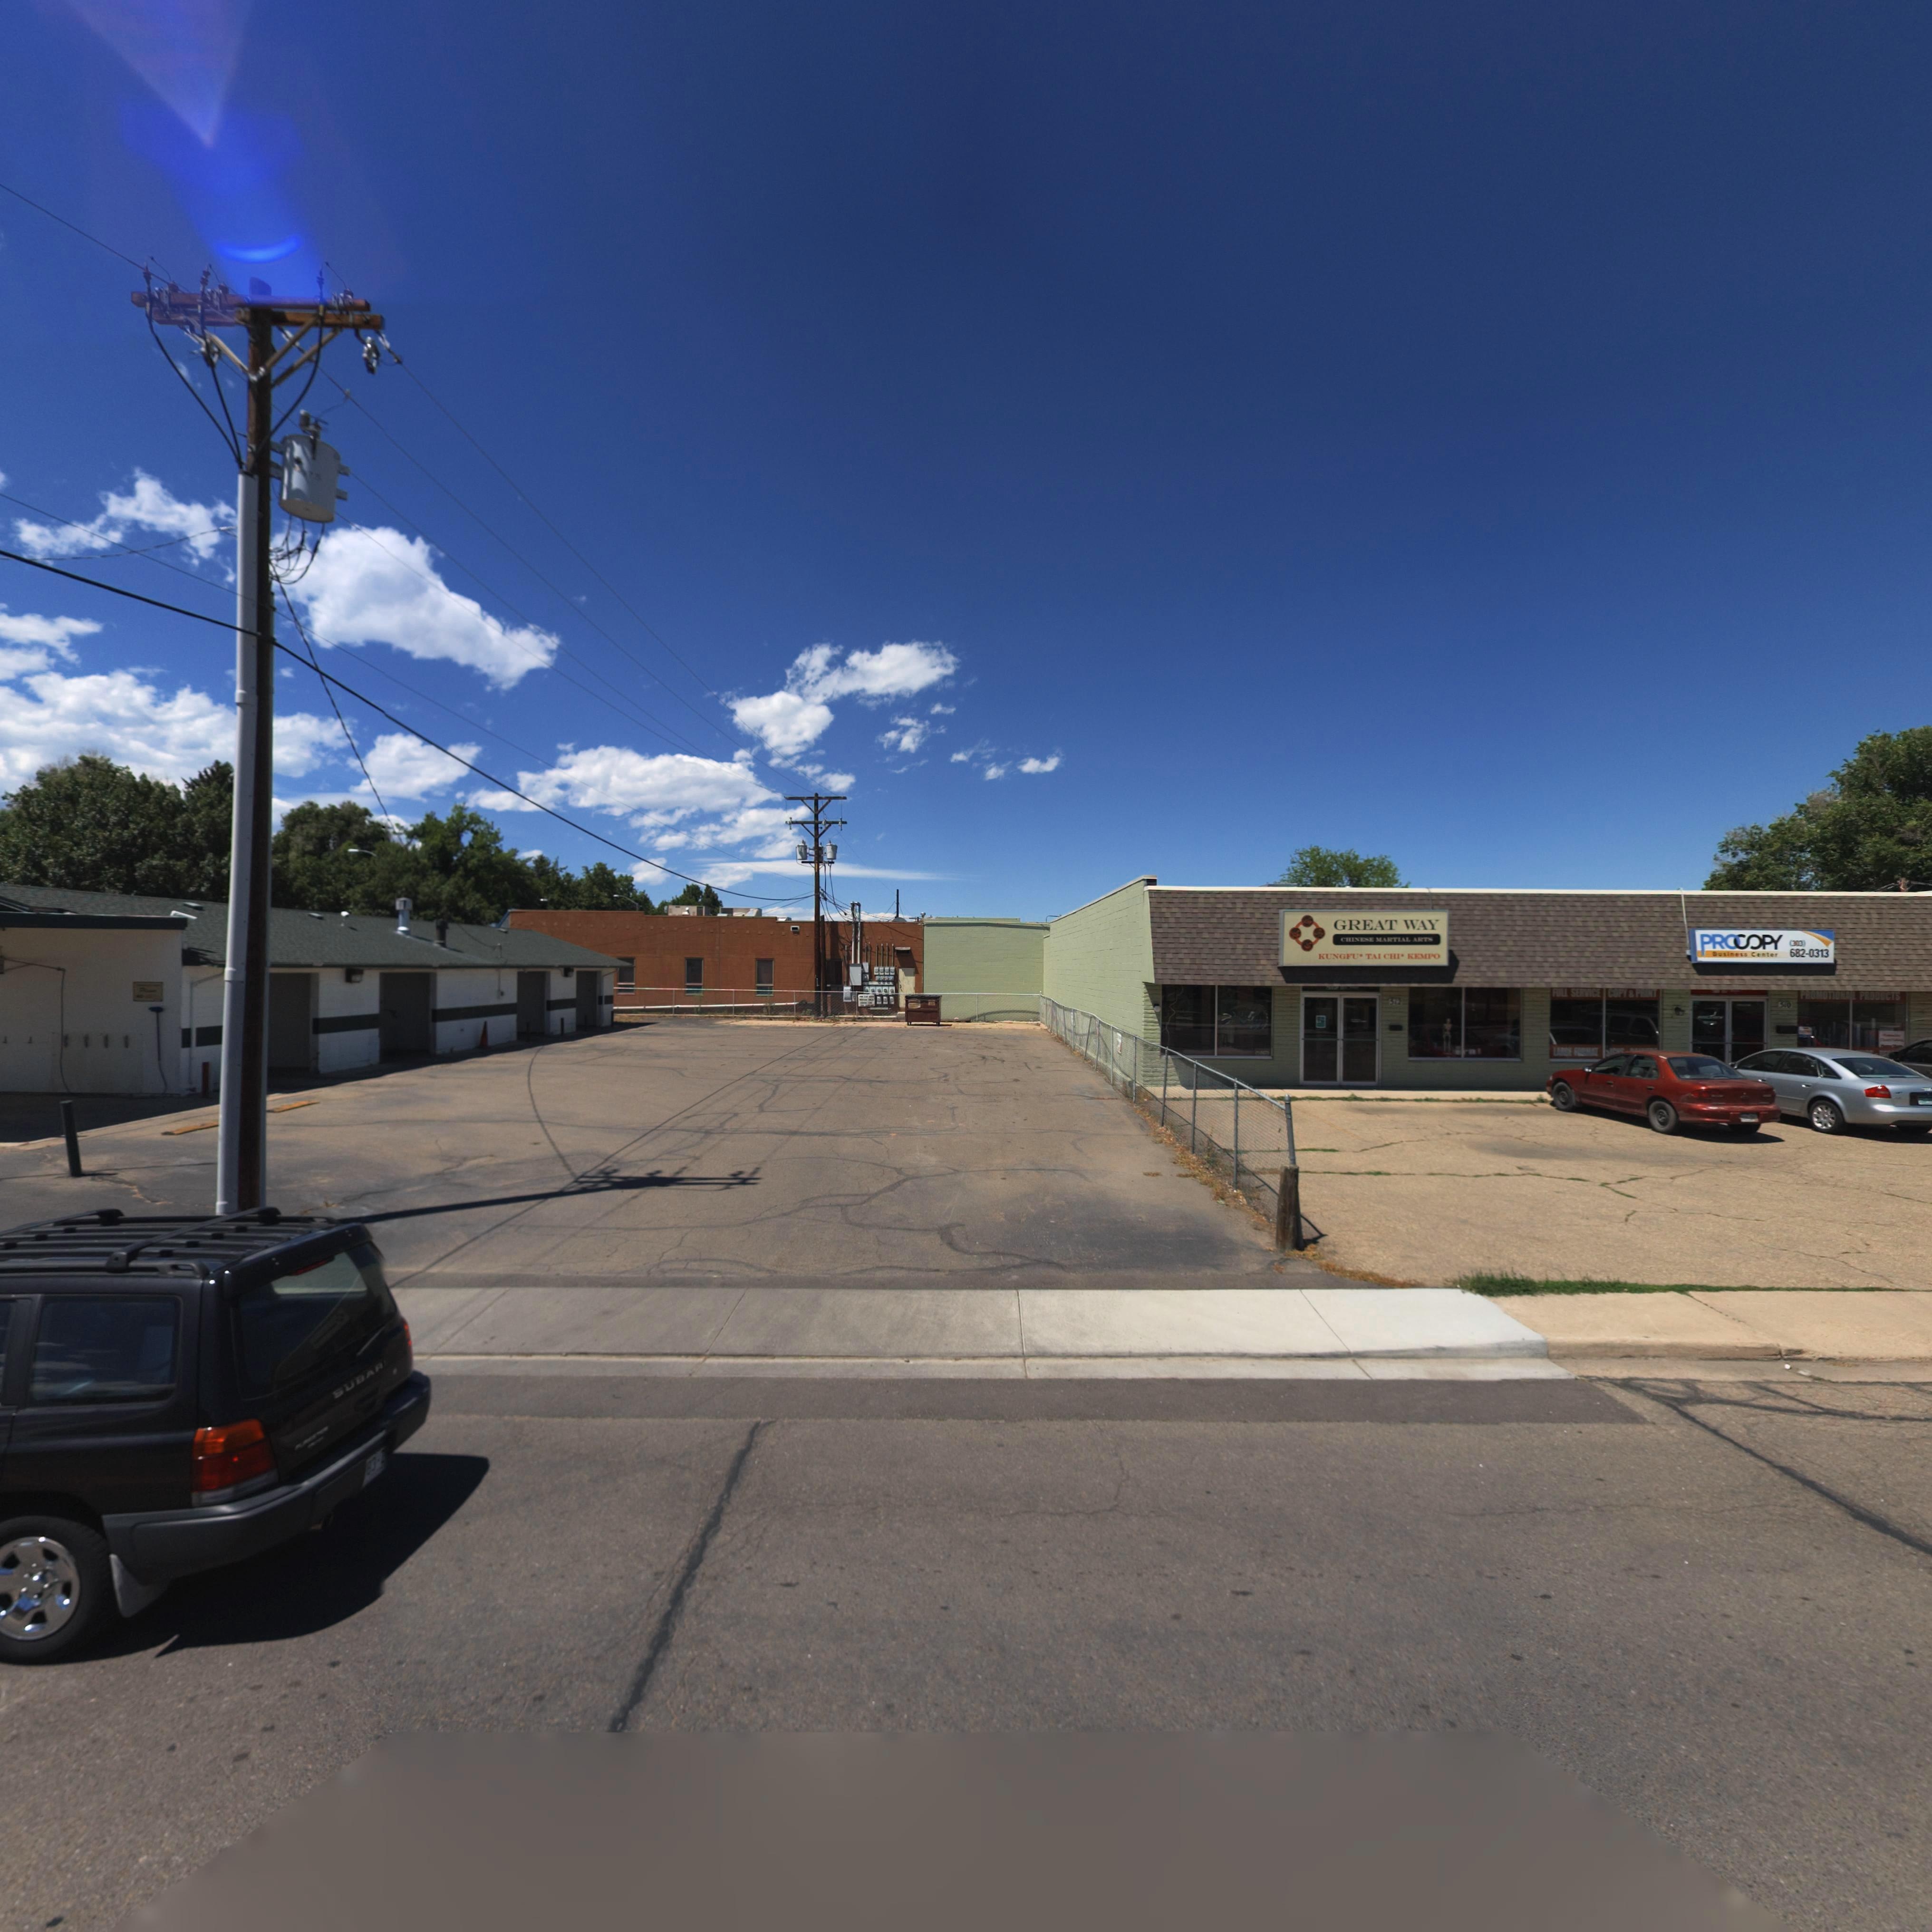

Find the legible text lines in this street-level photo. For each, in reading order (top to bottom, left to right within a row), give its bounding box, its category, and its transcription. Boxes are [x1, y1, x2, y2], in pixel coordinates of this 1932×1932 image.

[1333, 918, 1440, 931] BusinessName: GREAT WAY
[1700, 932, 1784, 956] BusinessName: PROCOPY
[1325, 985, 1339, 990] StreetNumber: *1*
[1389, 998, 1402, 1006] StreetNumber: 512
[1779, 1001, 1792, 1008] StreetNumber: 510